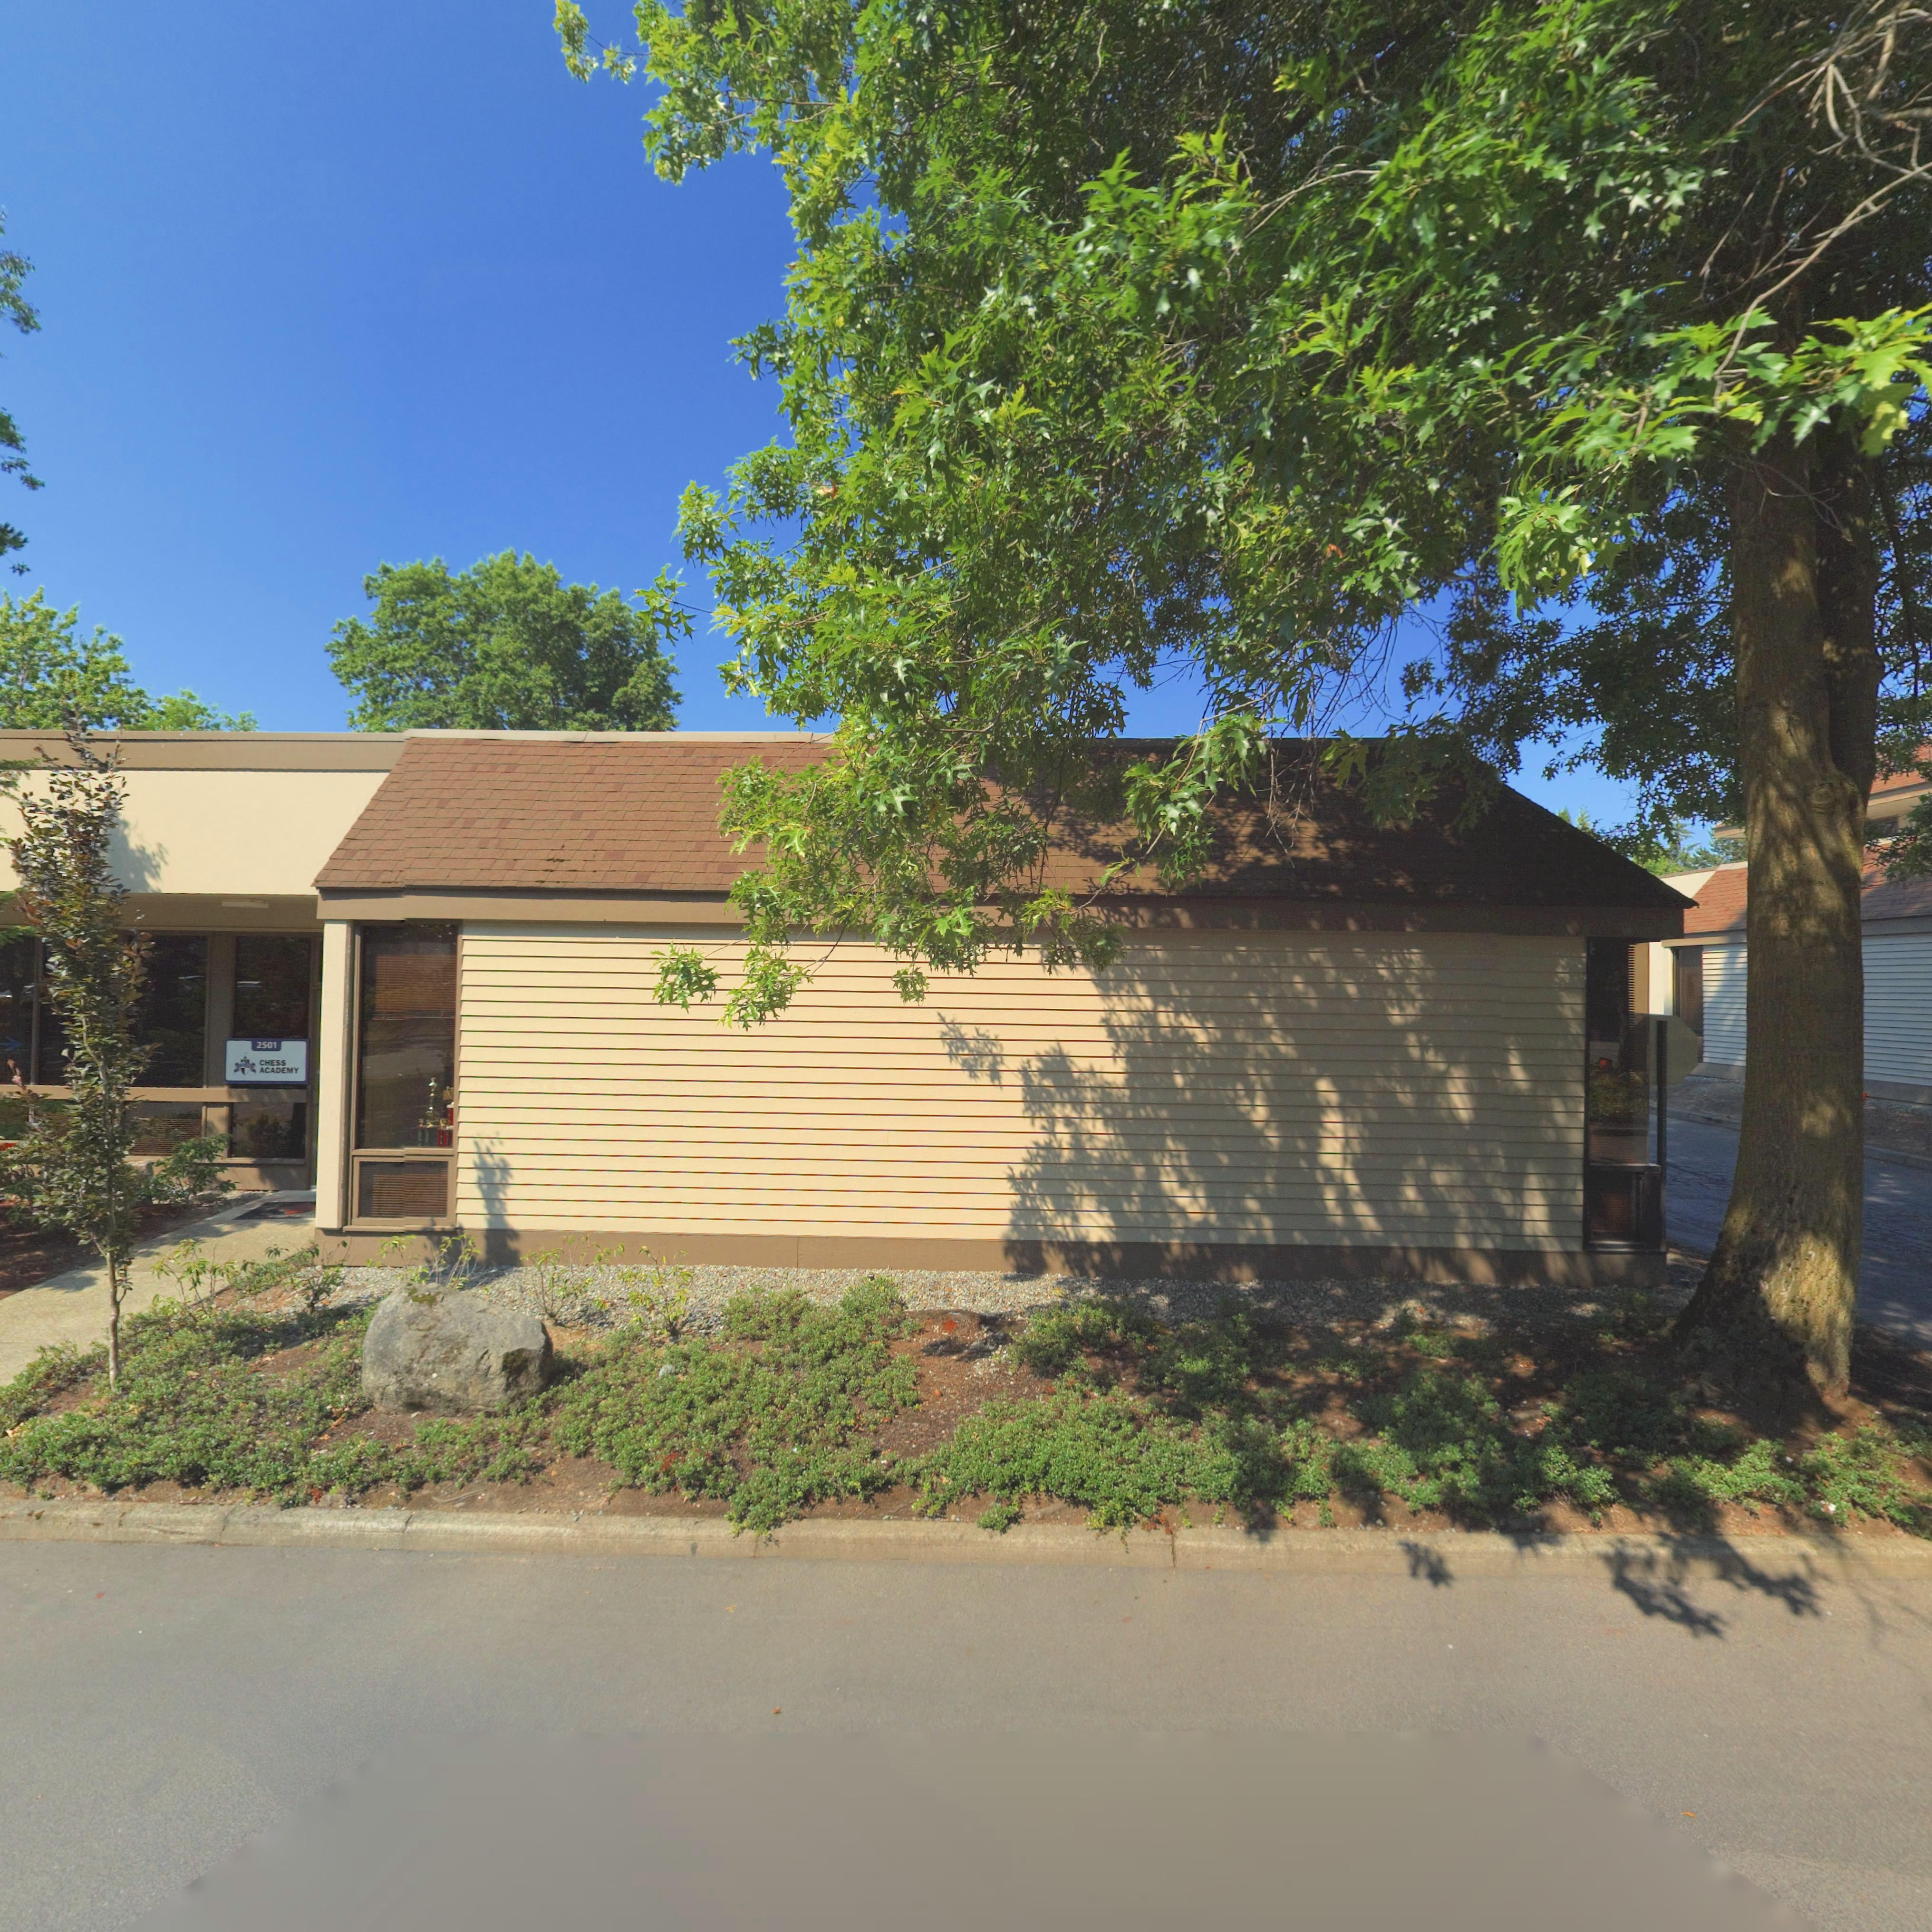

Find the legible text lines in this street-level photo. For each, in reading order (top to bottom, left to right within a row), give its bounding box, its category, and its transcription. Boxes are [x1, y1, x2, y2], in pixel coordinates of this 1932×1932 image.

[255, 1041, 277, 1049] StreetNumber: 2501
[258, 1059, 286, 1066] BusinessName: CHESS
[259, 1067, 299, 1073] BusinessName: ACADEMY